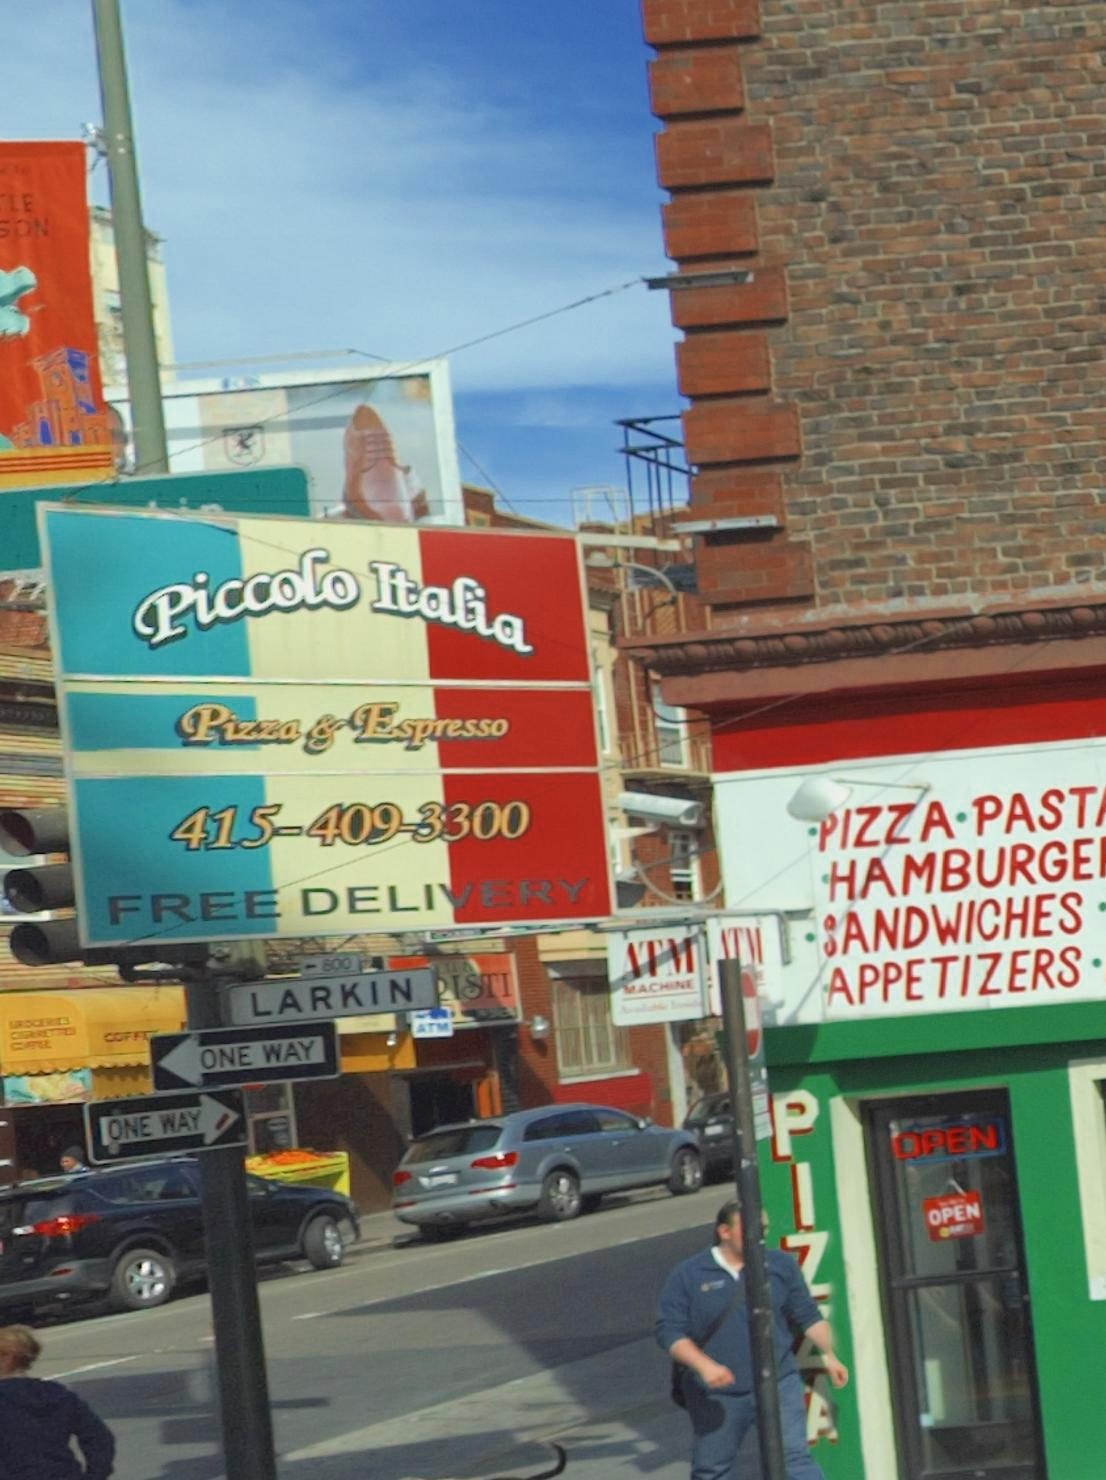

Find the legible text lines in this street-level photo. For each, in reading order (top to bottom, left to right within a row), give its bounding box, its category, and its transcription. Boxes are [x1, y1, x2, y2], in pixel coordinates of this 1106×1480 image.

[3, 188, 37, 216] None: LE
[10, 213, 52, 241] None: ON
[128, 544, 541, 658] BusinessName: Piccolo Italia
[172, 695, 511, 757] None: Pizza & Espresso
[164, 797, 532, 854] None: 415-409-3300
[836, 782, 1101, 854] None: IZZA * PAST
[827, 834, 1098, 906] None: HAMBURGE
[301, 953, 355, 976] StreetNumberRange: <-800
[247, 973, 416, 1020] StreetName: LARKIN
[104, 874, 595, 929] None: FREE DELIVERY
[447, 969, 517, 1004] BusinessName: ISTI
[621, 979, 663, 998] None: MAC
[617, 933, 699, 985] None: ATM
[724, 922, 767, 970] None: TM
[823, 943, 1087, 1012] None: APPETIZERS
[837, 887, 1089, 960] None: ANDWICHES
[100, 1028, 145, 1046] BusinessName: COFF
[197, 1037, 318, 1073] None: ONE WAY
[411, 1019, 454, 1038] None: ATM
[103, 1106, 205, 1144] None: ONE WAY
[889, 1121, 999, 1161] None: OPEN
[926, 1198, 983, 1228] None: OPEN
[768, 1086, 841, 1446] None: PI**A